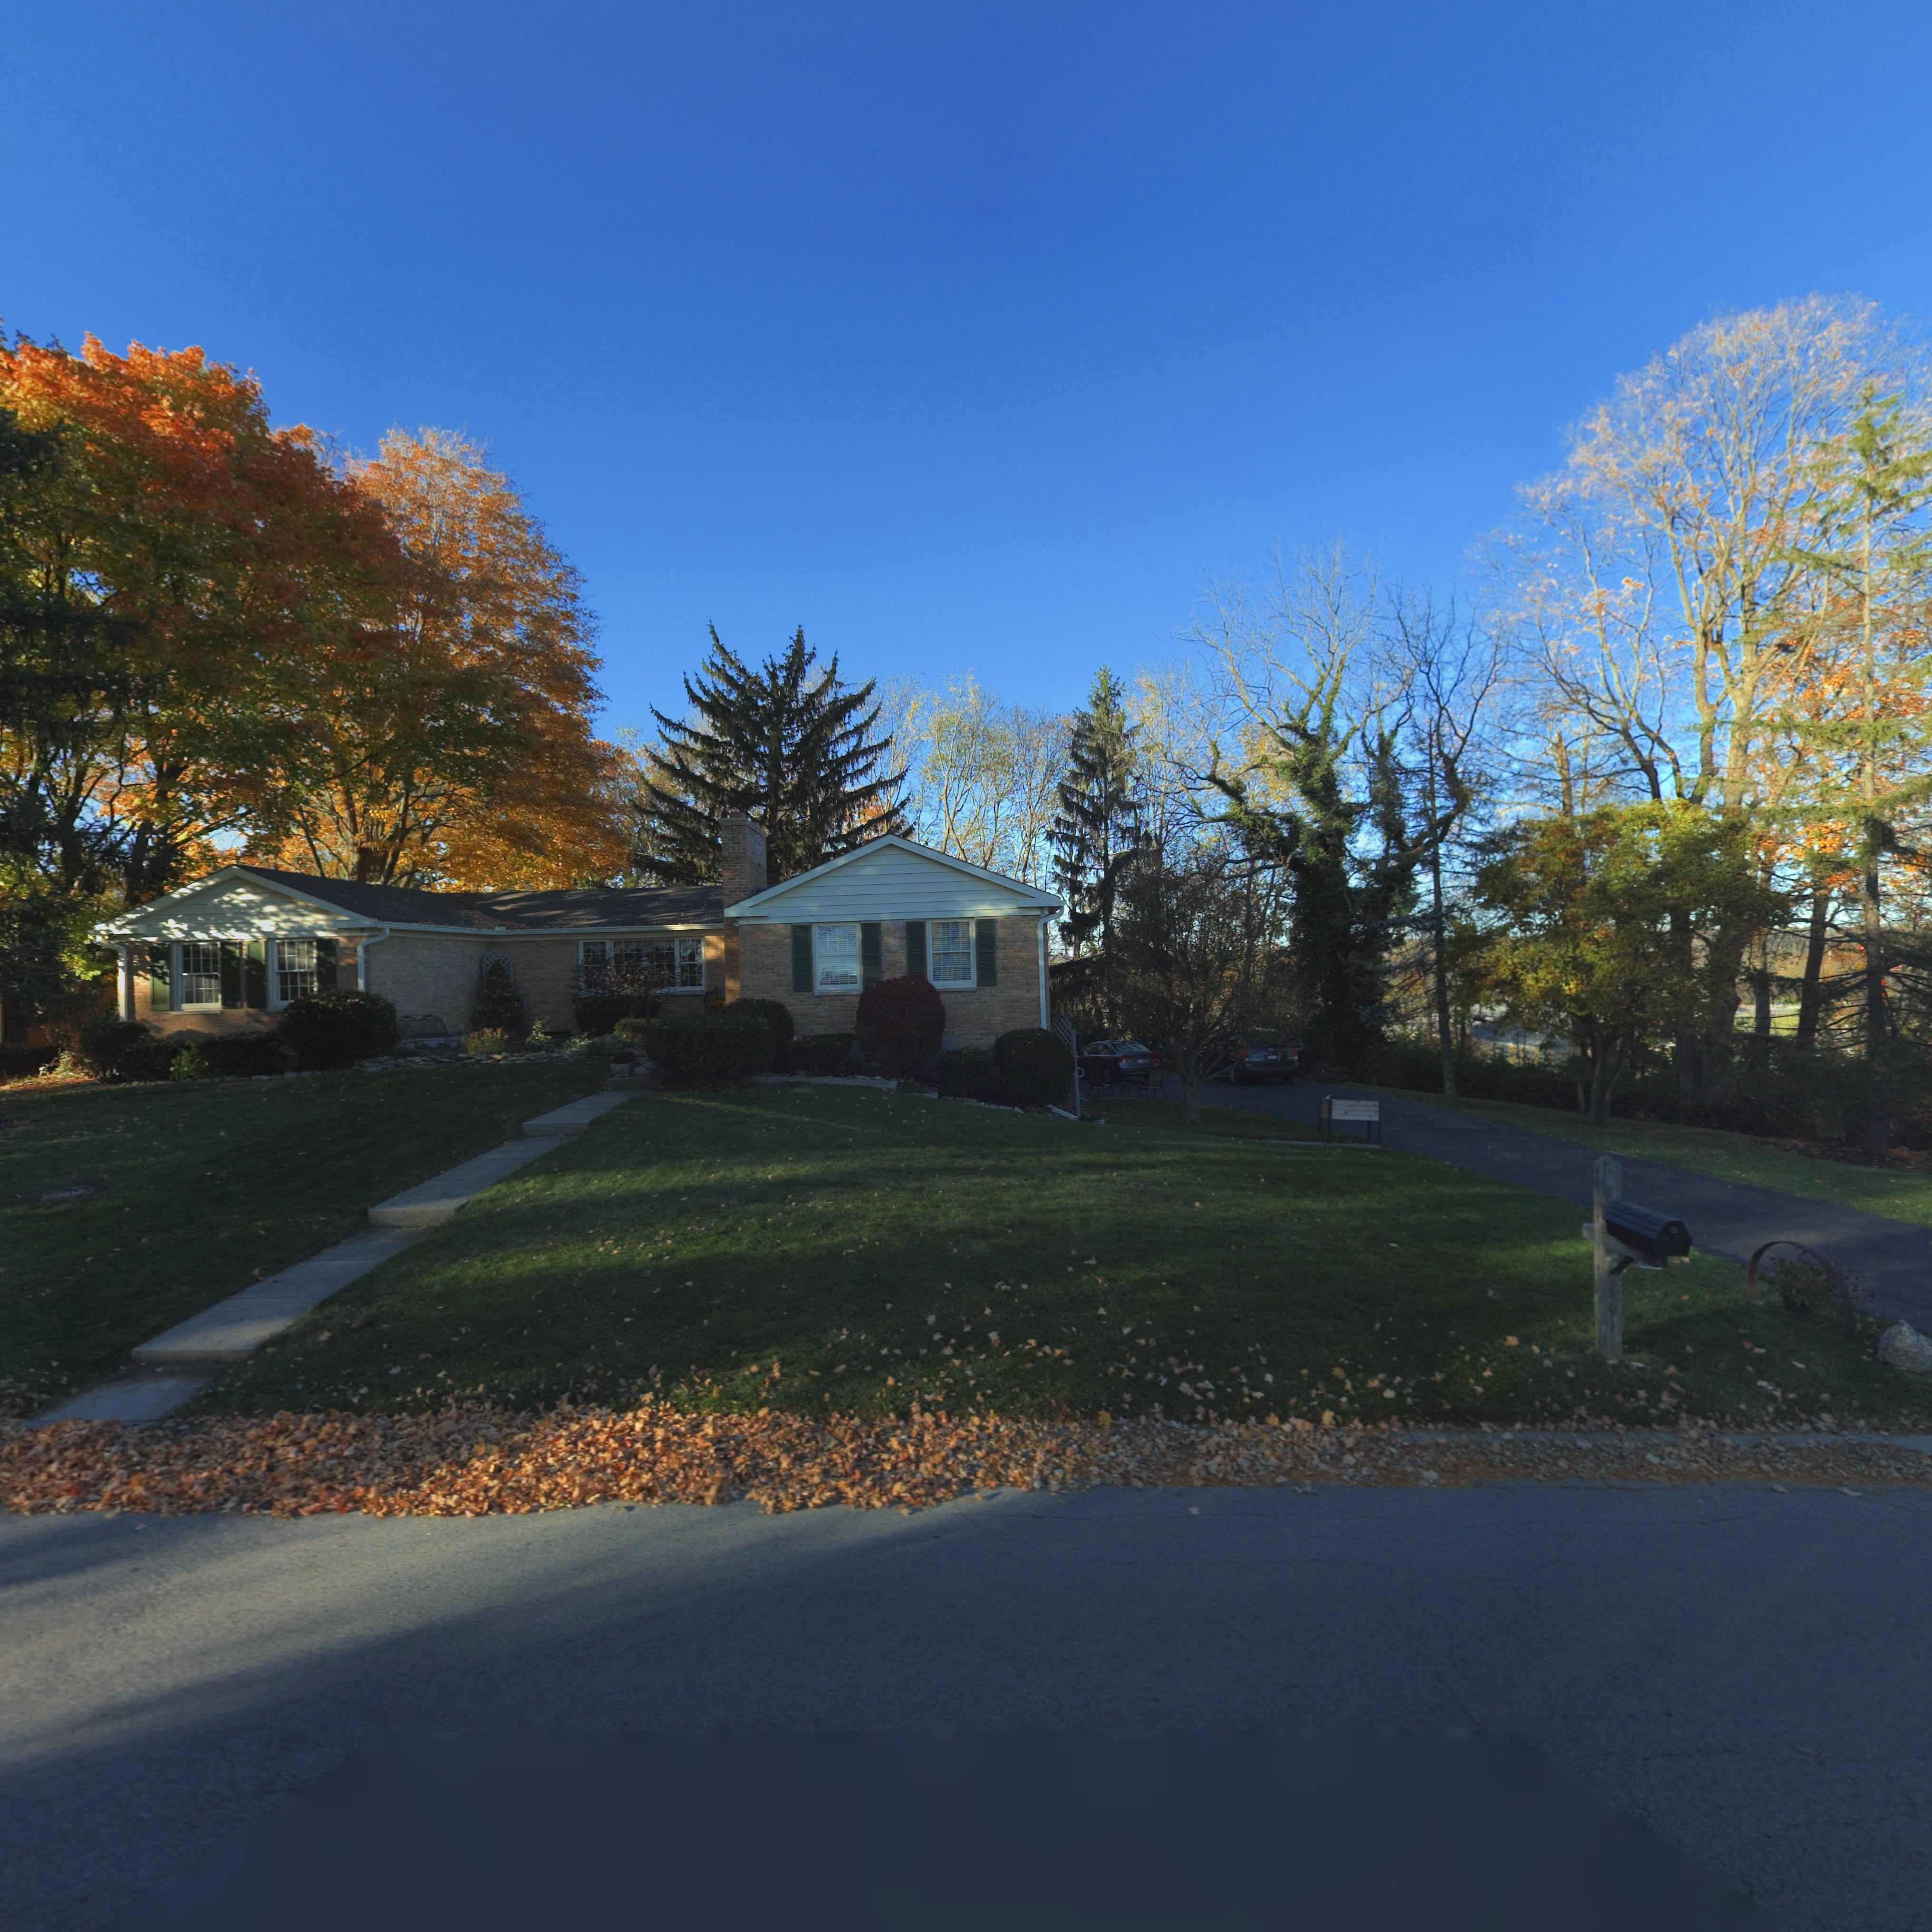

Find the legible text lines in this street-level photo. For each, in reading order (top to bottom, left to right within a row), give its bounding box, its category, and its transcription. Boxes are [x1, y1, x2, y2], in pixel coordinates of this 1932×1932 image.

[1604, 1275, 1620, 1335] StreetNumber: 5*91